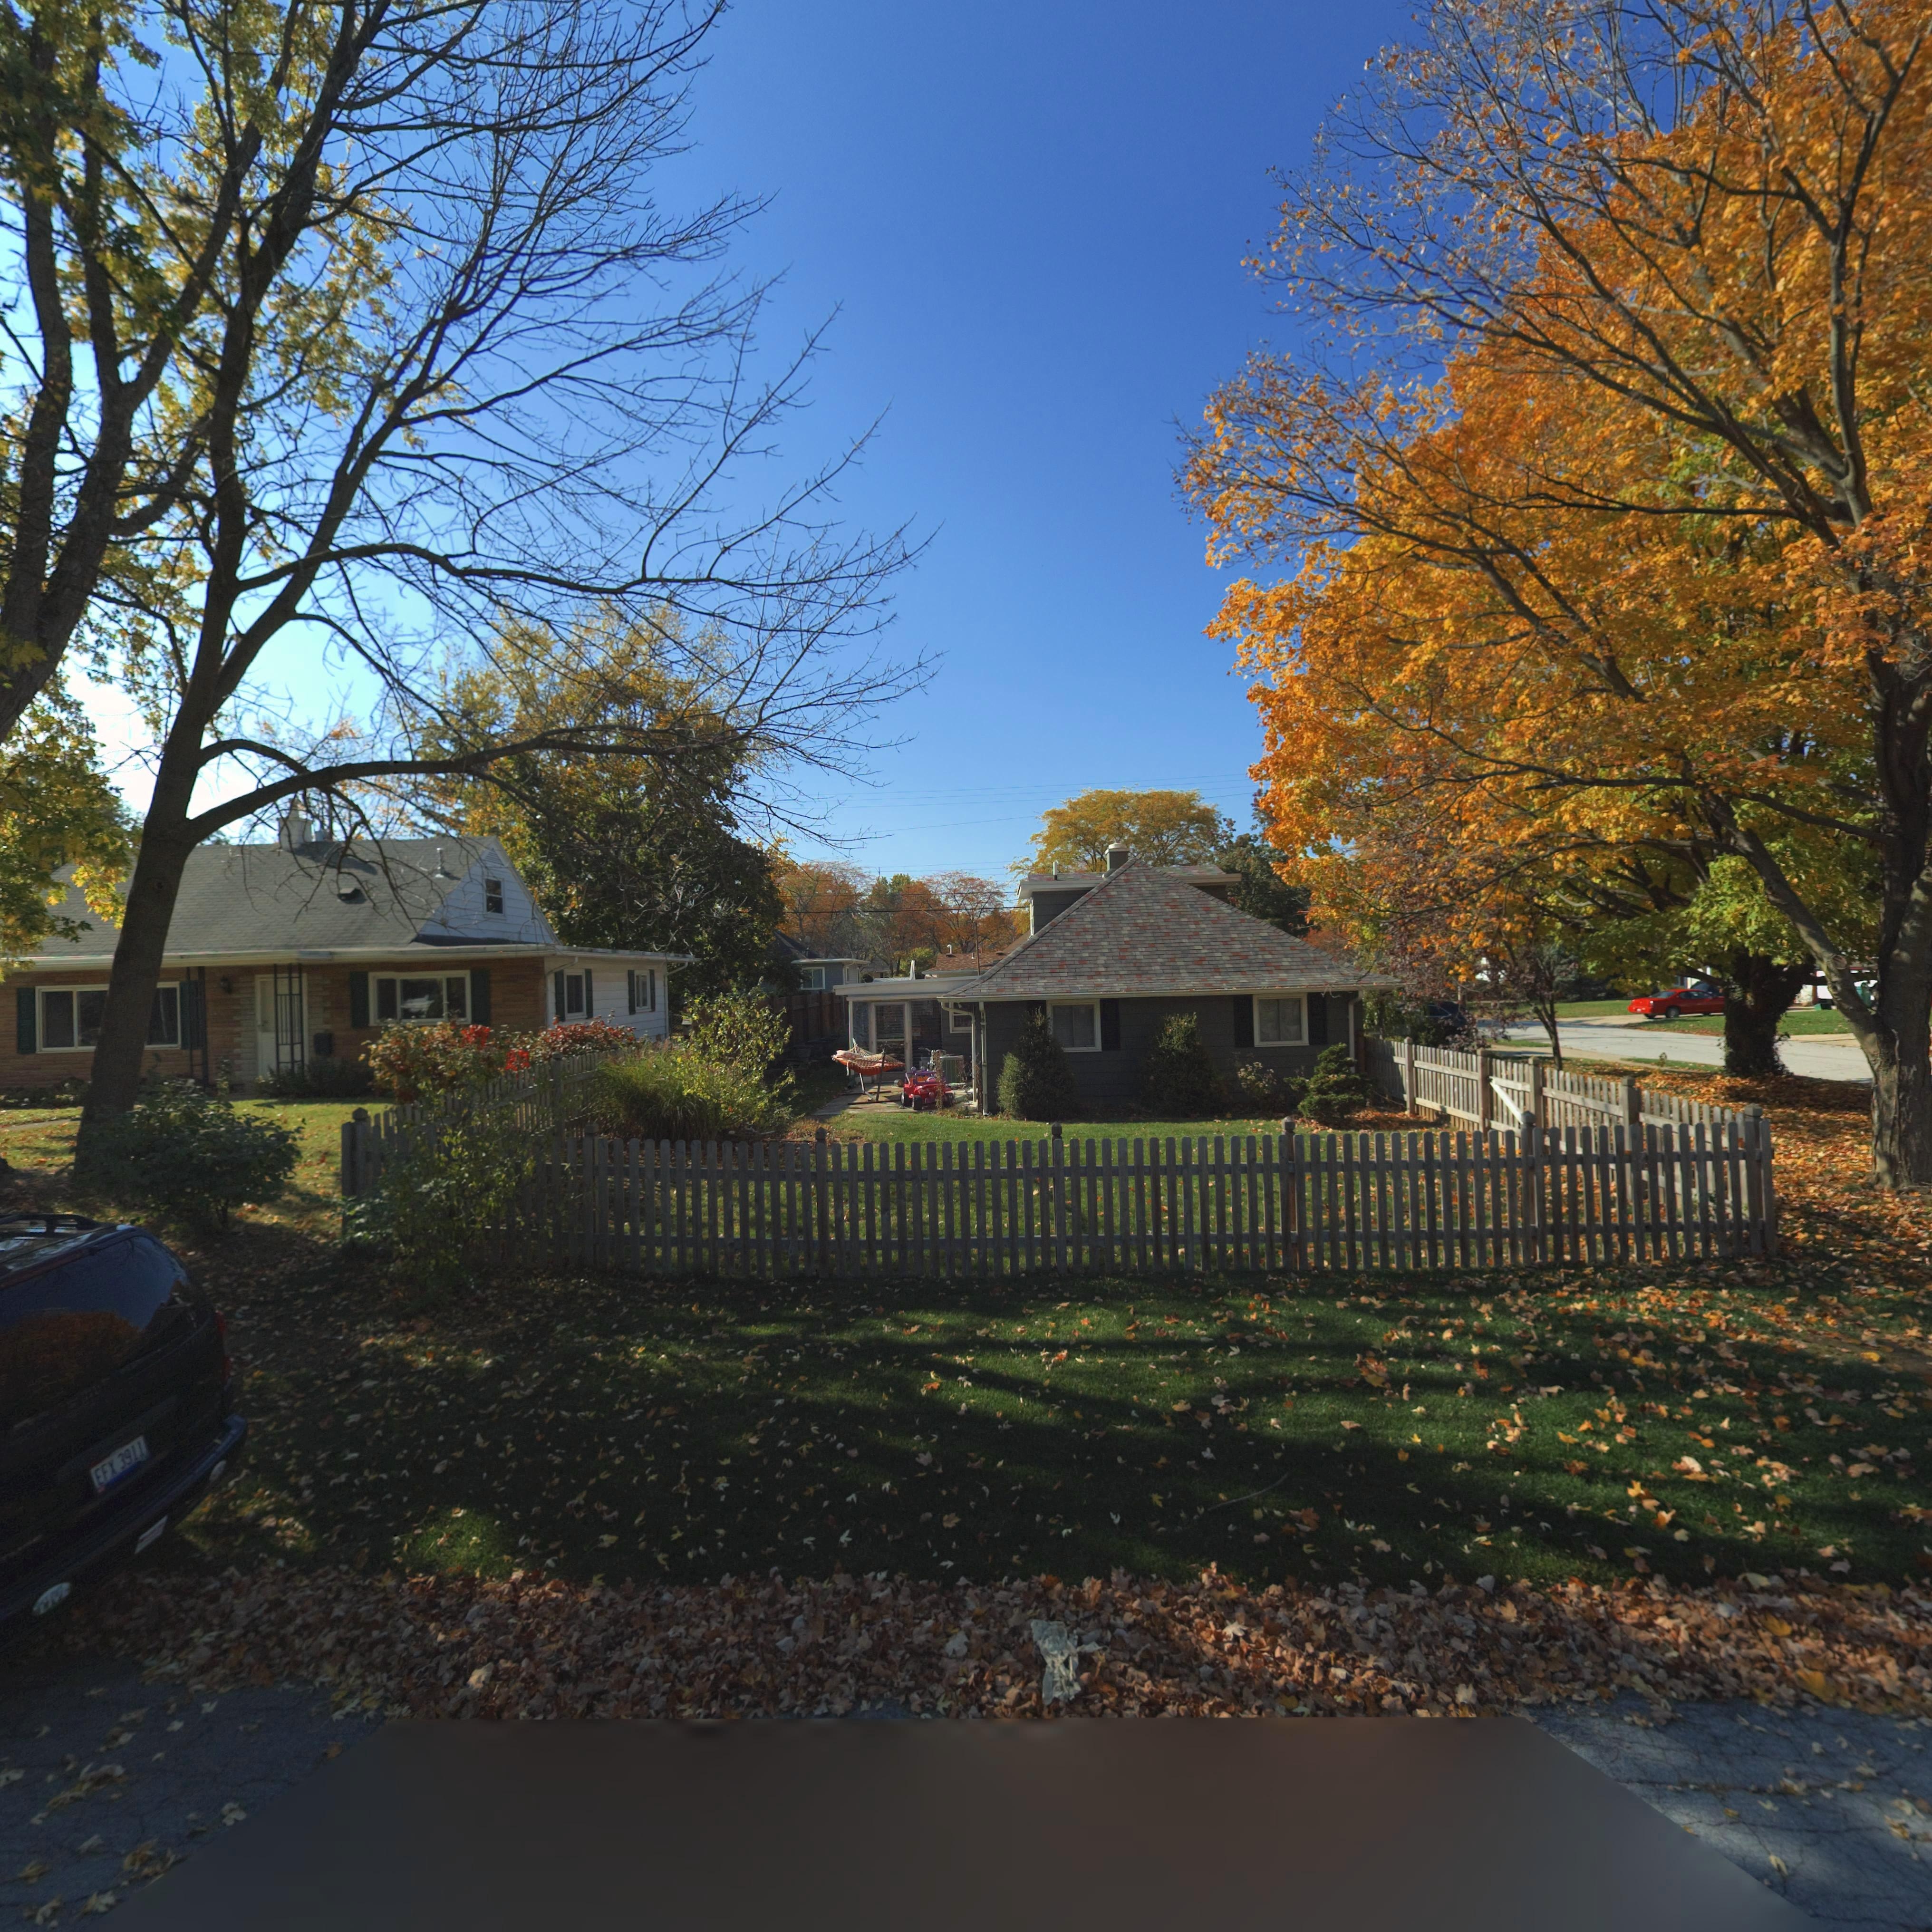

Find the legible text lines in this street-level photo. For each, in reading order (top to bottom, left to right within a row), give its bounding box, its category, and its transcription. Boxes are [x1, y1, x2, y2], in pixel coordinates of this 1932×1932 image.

[93, 1439, 146, 1488] None: EFX*3911
[38, 1588, 63, 1617] None: LIV